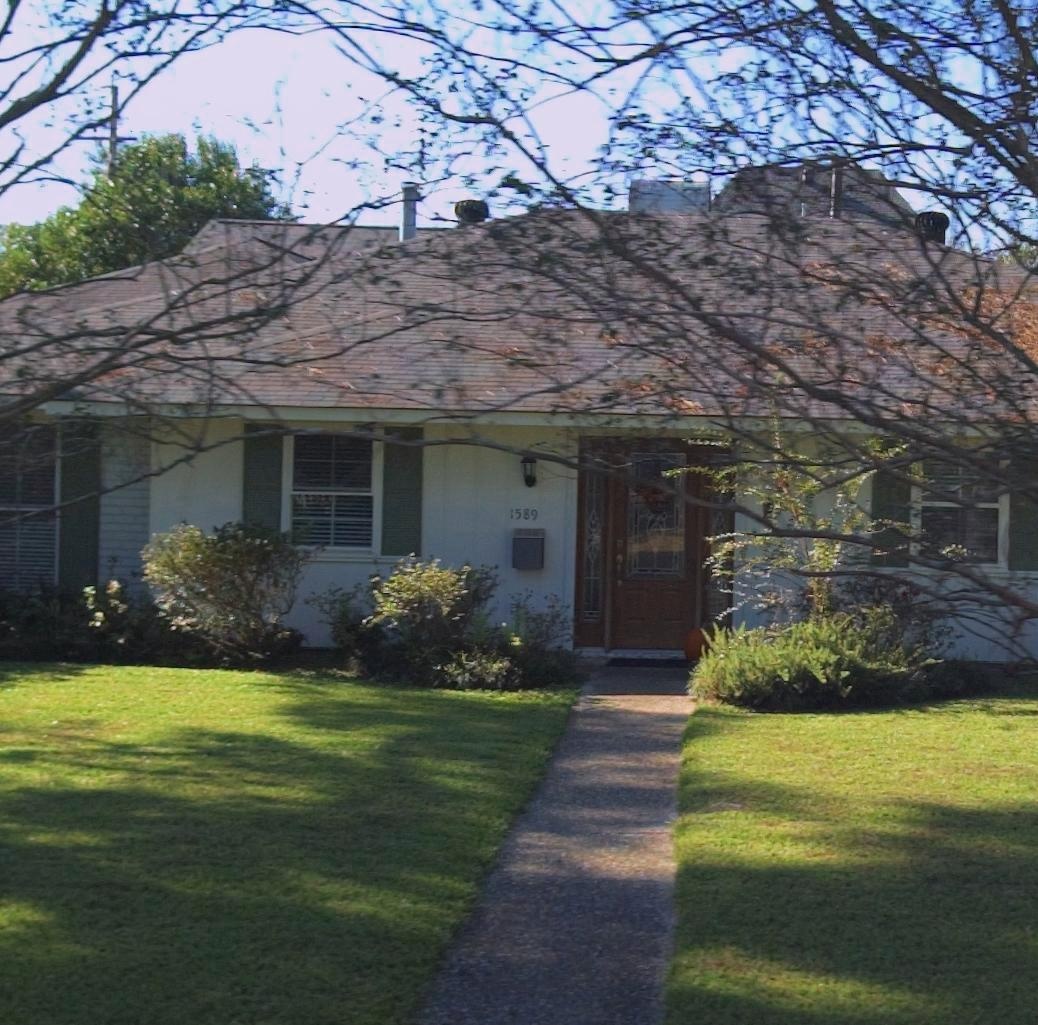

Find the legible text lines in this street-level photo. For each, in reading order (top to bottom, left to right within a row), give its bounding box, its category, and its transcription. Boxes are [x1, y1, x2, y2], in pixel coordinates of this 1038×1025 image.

[508, 506, 540, 525] StreetNumber: 1589